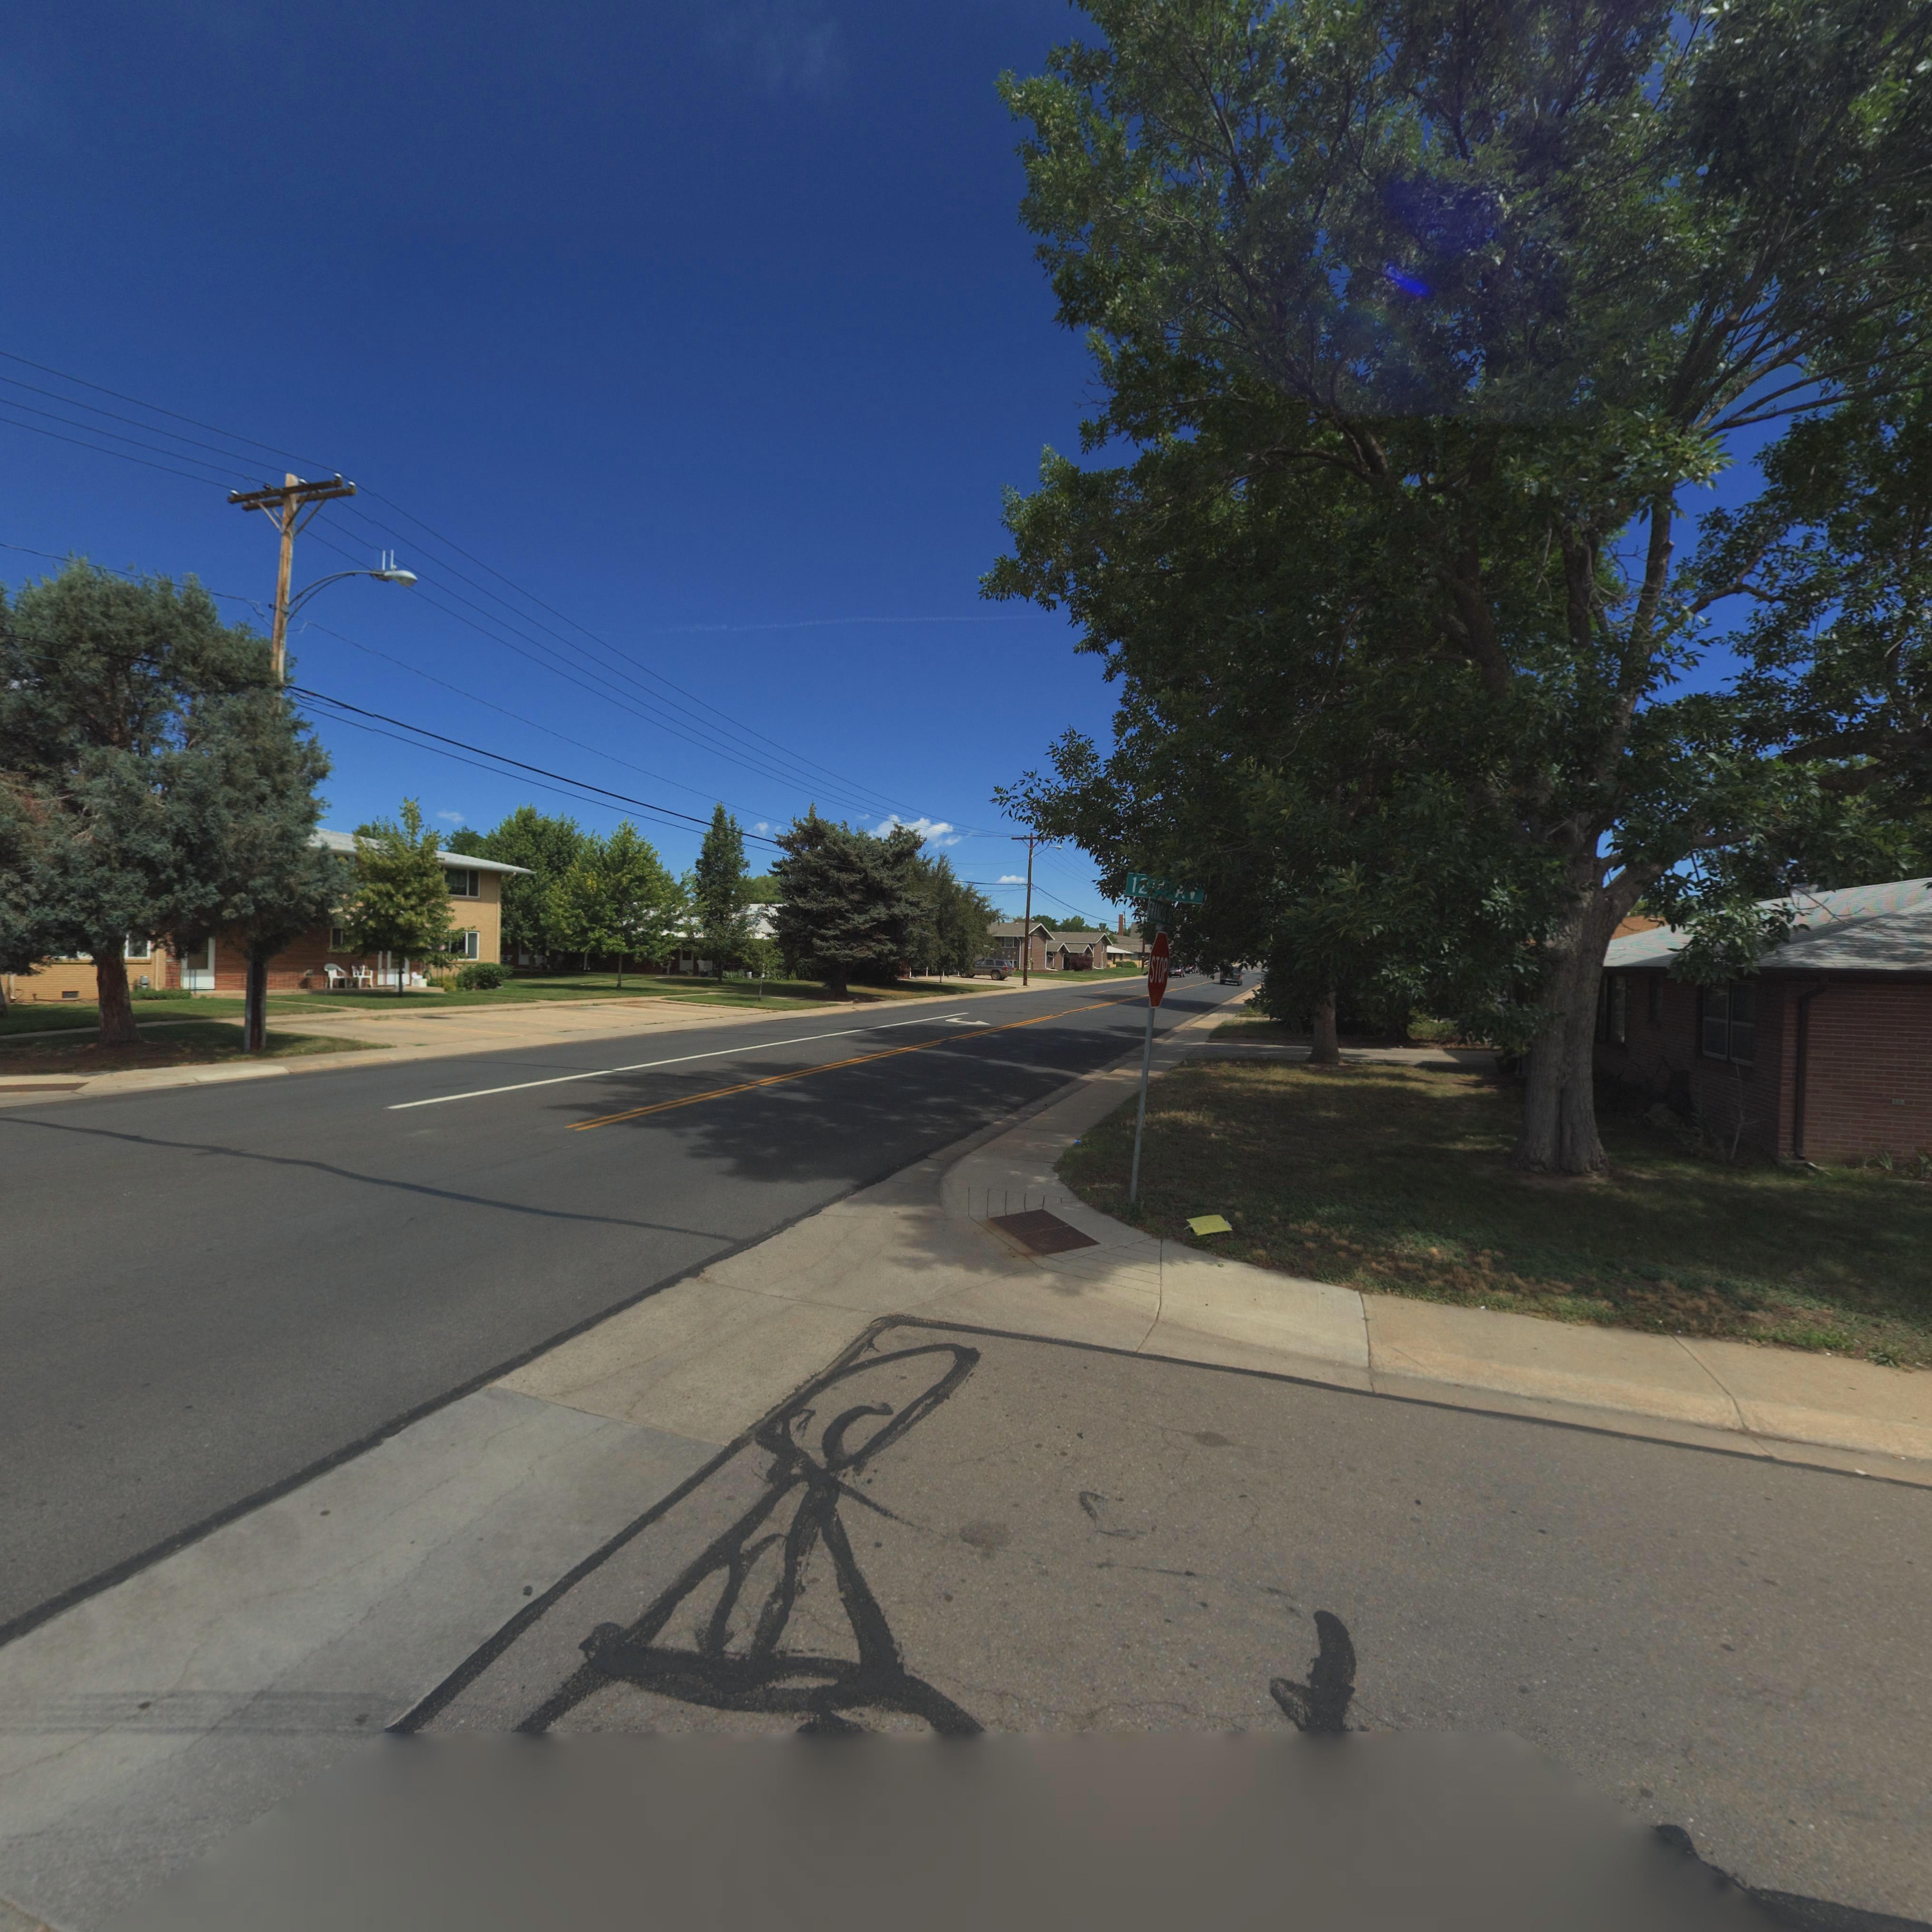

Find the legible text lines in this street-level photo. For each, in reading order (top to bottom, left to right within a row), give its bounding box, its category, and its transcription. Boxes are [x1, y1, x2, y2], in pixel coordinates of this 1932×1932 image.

[1131, 876, 1201, 900] StreetNumber: 12** A*
[1147, 900, 1174, 924] BusinessName: FRANCIS ST